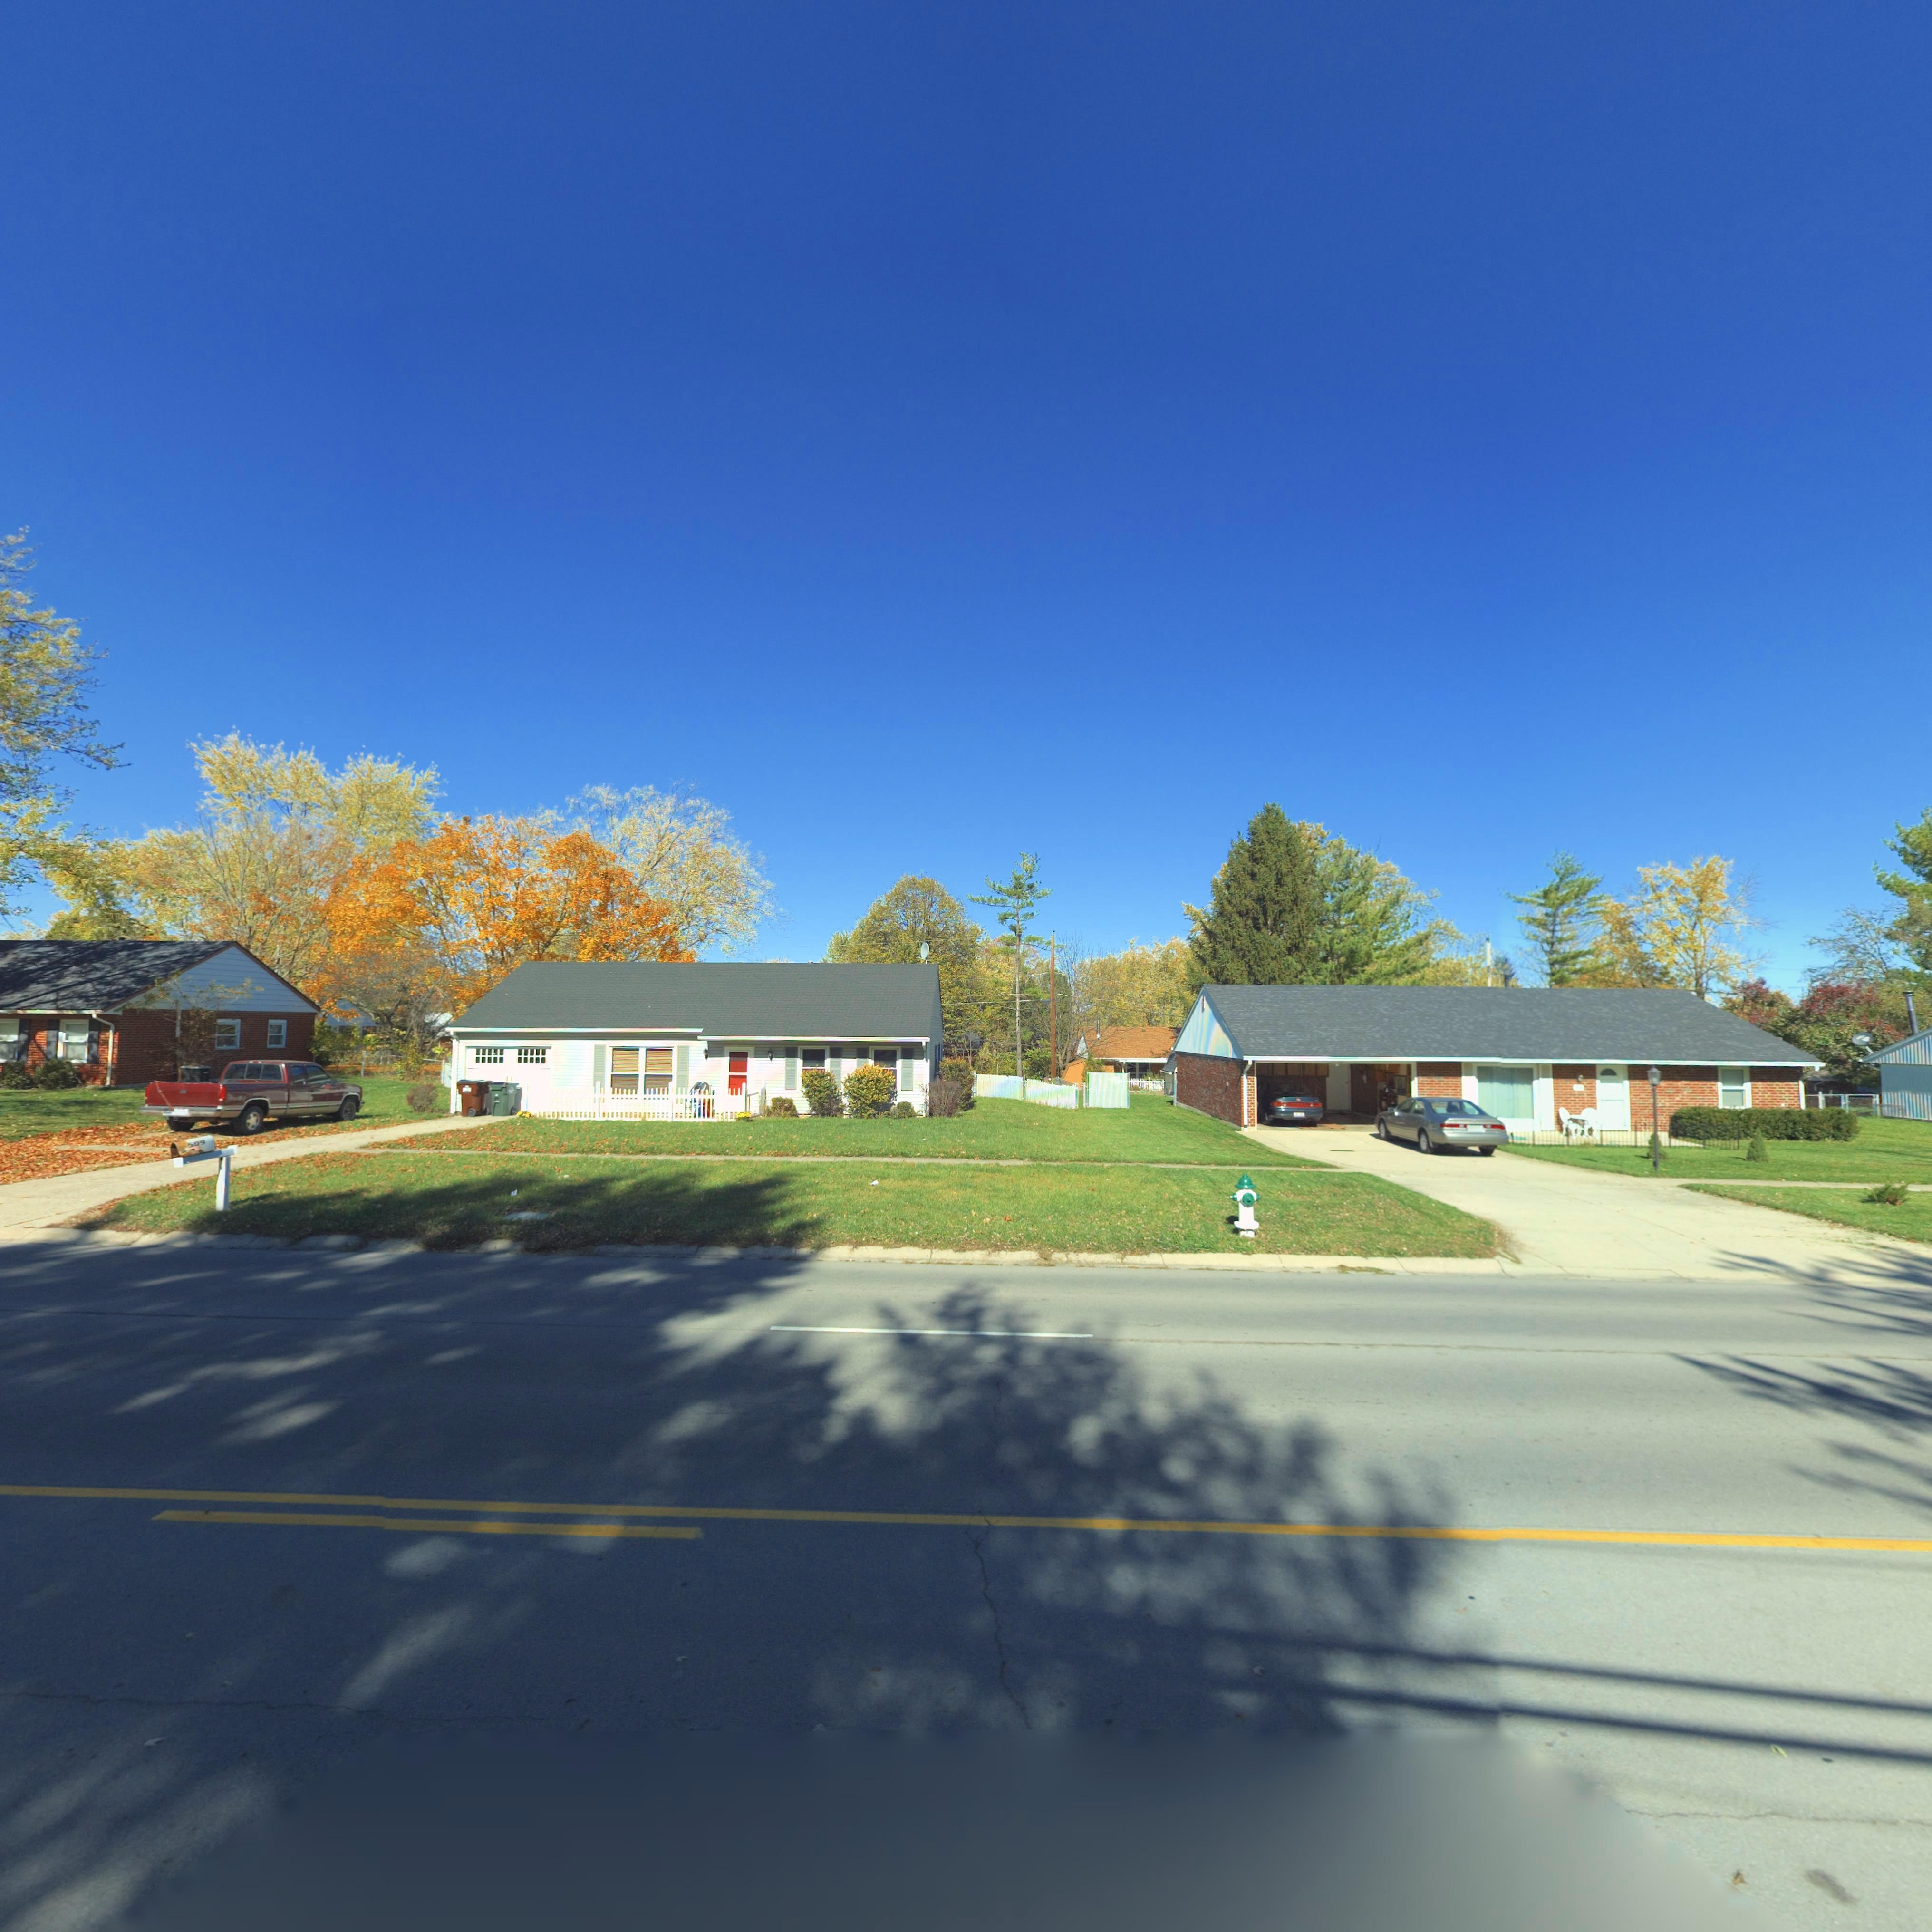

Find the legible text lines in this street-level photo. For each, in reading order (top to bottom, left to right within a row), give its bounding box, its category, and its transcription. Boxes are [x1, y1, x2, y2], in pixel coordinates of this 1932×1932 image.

[186, 1139, 207, 1149] StreetNumber: 509